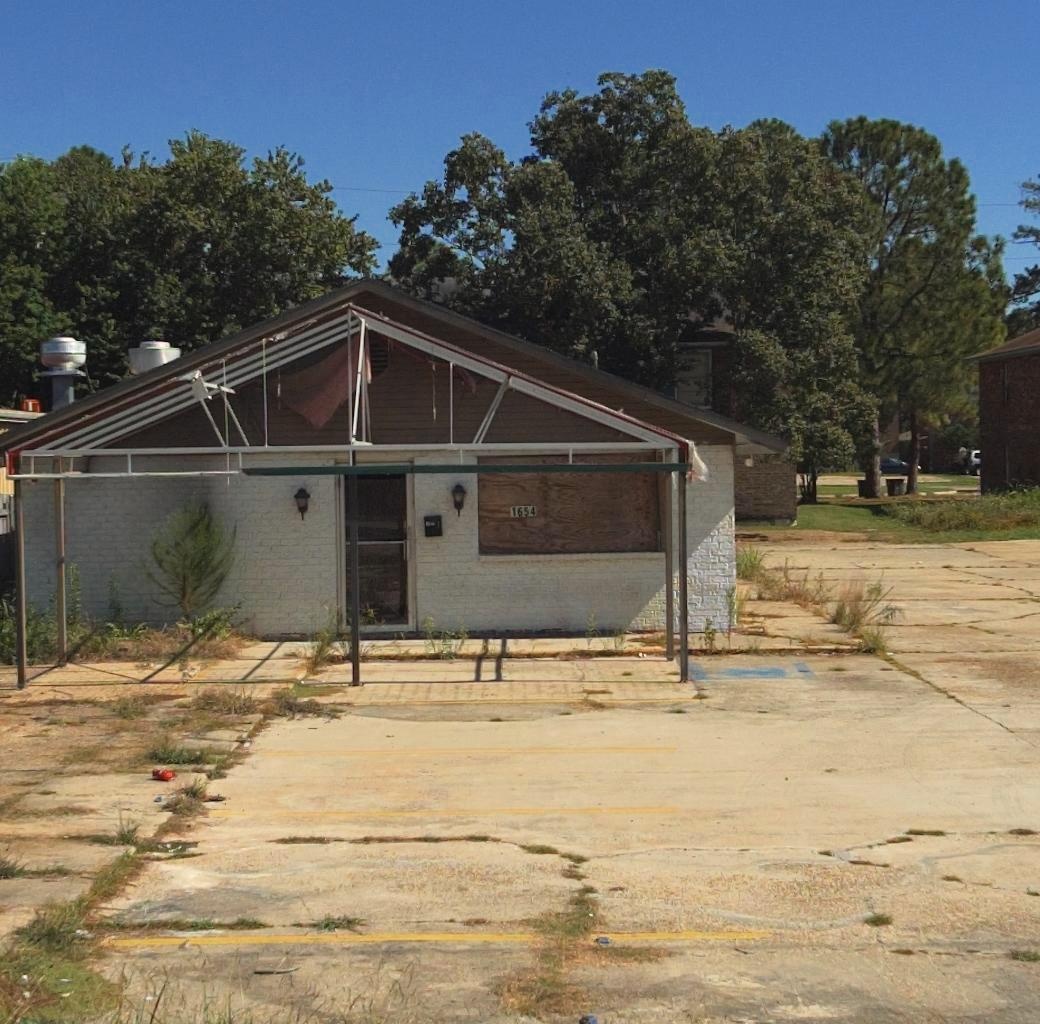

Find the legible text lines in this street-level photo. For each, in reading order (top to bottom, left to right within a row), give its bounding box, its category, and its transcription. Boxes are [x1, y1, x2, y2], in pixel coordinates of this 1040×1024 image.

[511, 506, 536, 517] StreetNumber: 1654